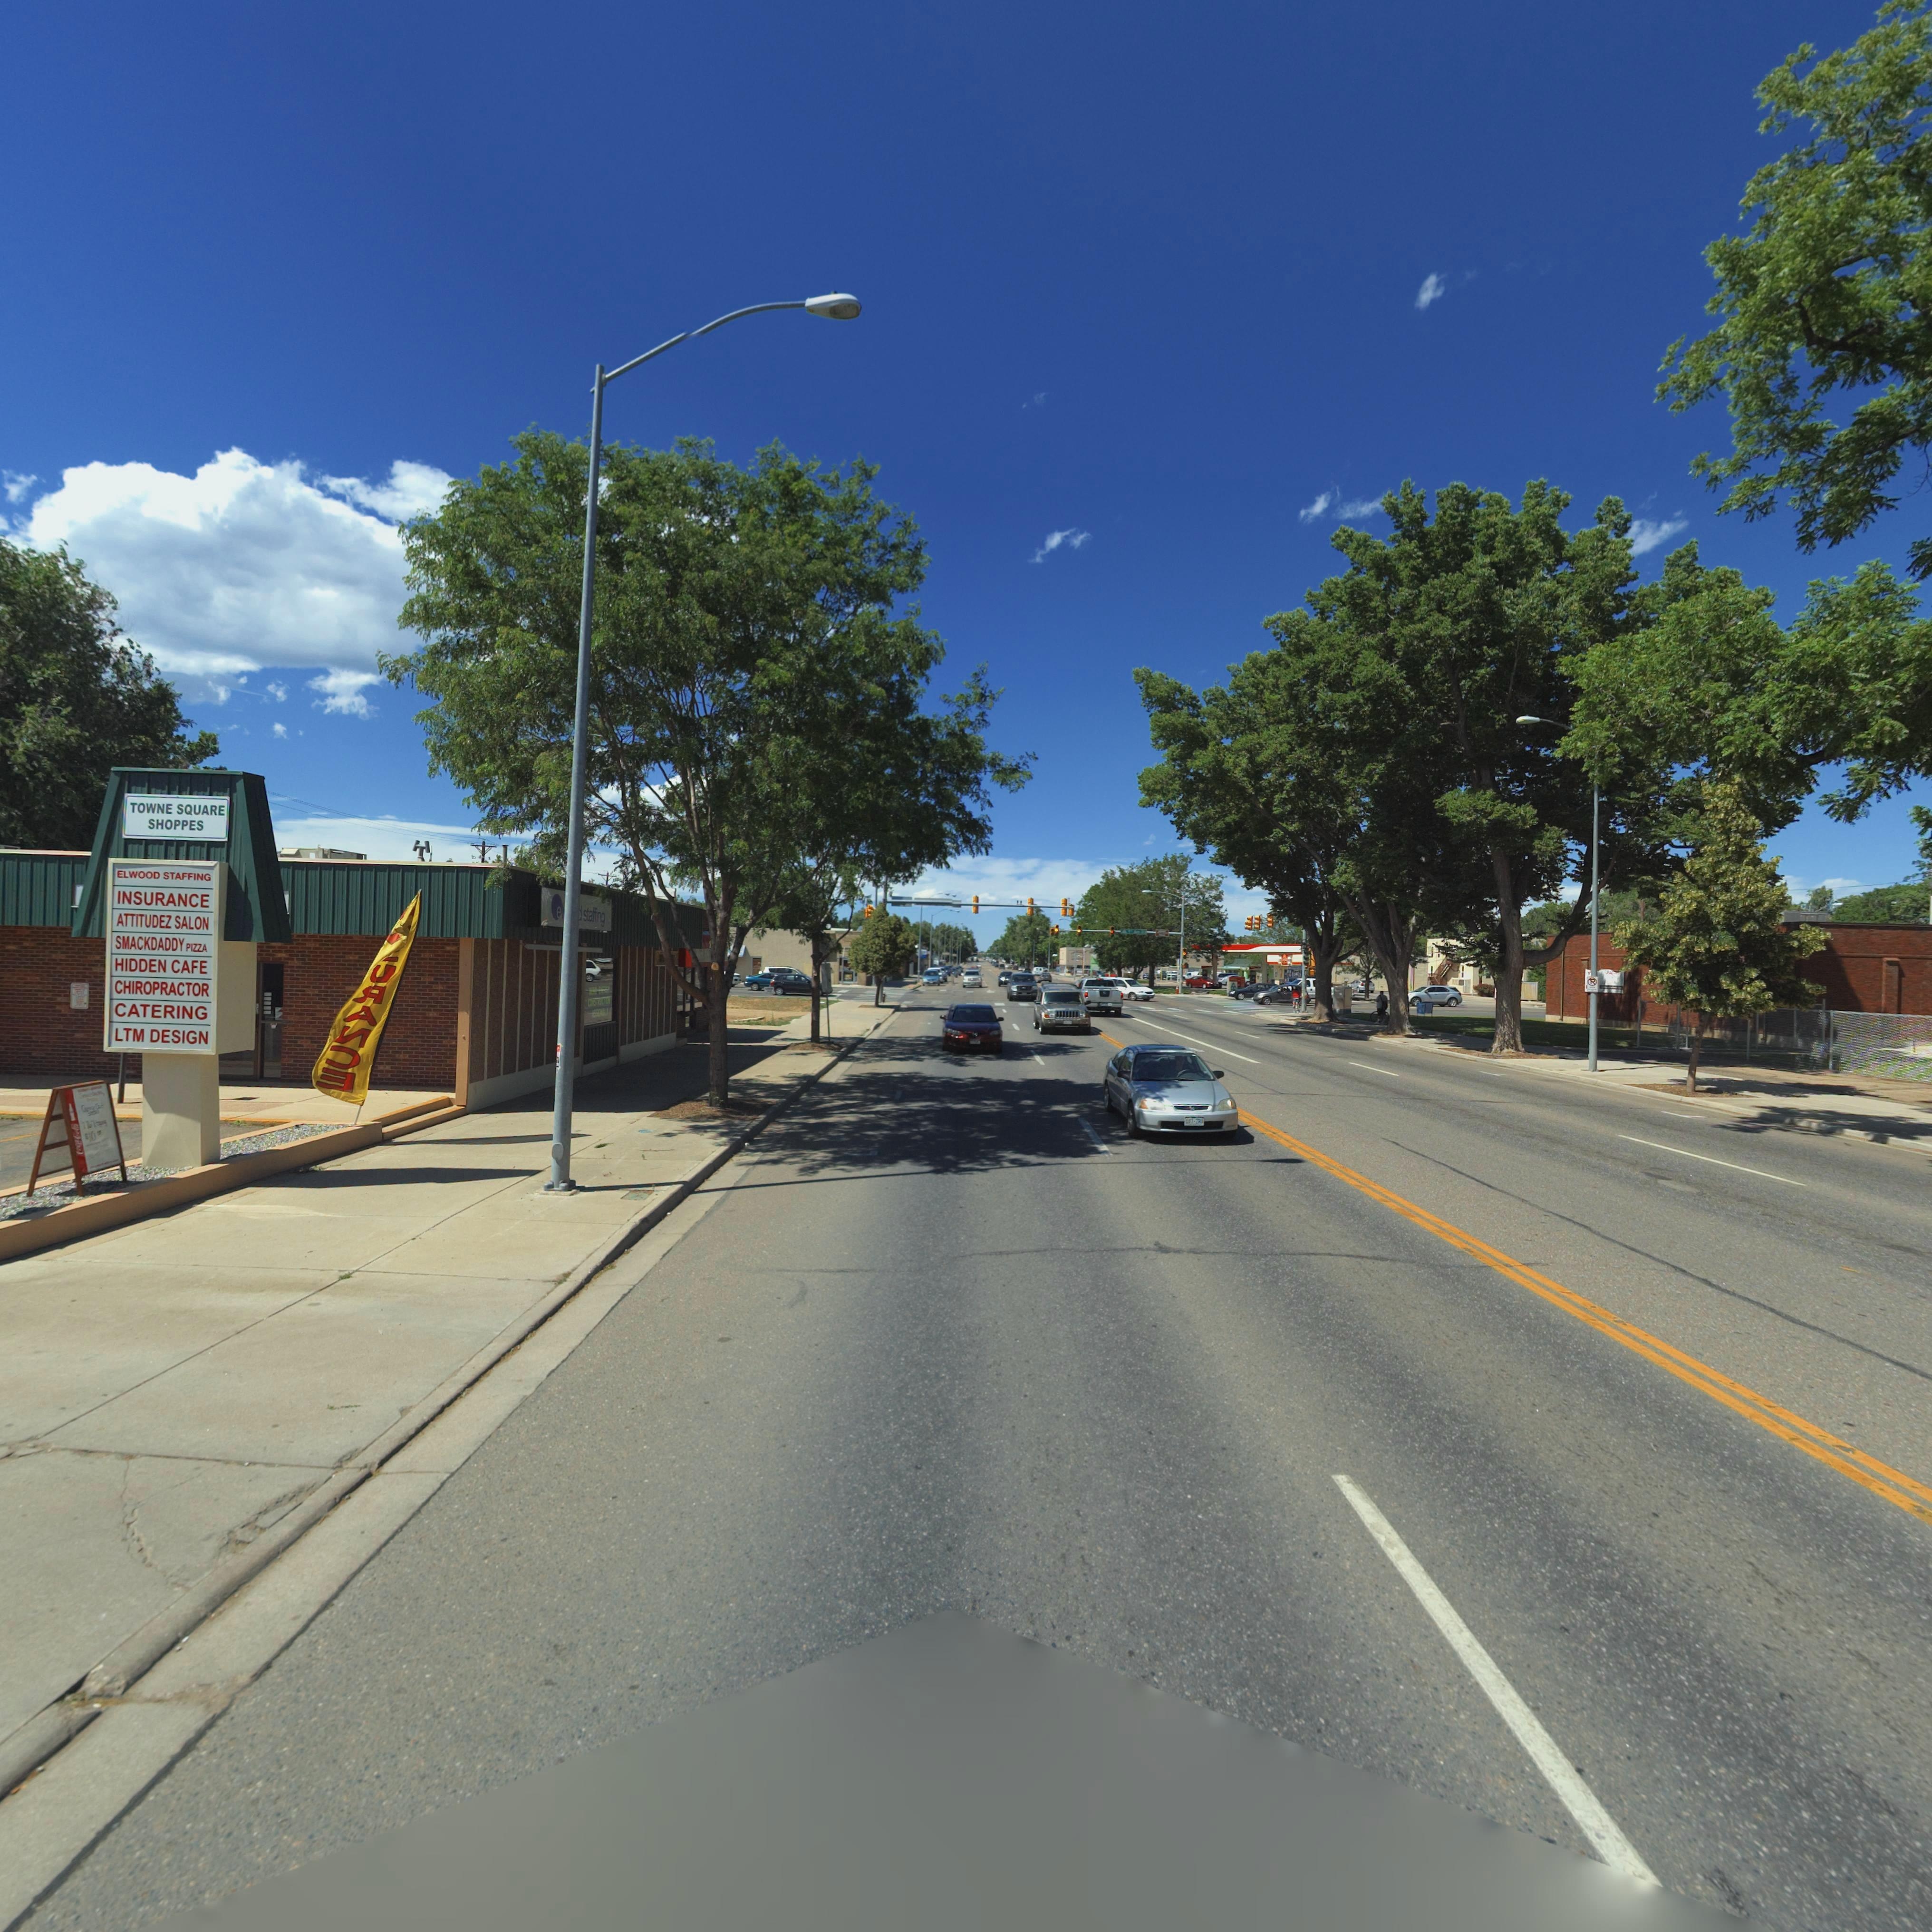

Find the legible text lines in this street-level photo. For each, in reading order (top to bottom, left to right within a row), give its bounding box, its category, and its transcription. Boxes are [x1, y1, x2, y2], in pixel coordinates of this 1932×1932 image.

[116, 869, 211, 881] BusinessName: ELWOOD STAFFING
[116, 912, 209, 931] BusinessName: ATTITUDEZ SALON
[556, 901, 605, 927] BusinessName: el**** staffing
[1127, 929, 1140, 934] StreetName: 9** A**
[115, 935, 208, 953] BusinessName: SMACKDADDY PIZZA
[114, 957, 208, 975] BusinessName: HIDDEN CAFE
[114, 1026, 209, 1045] BusinessName: LTM DESIGN